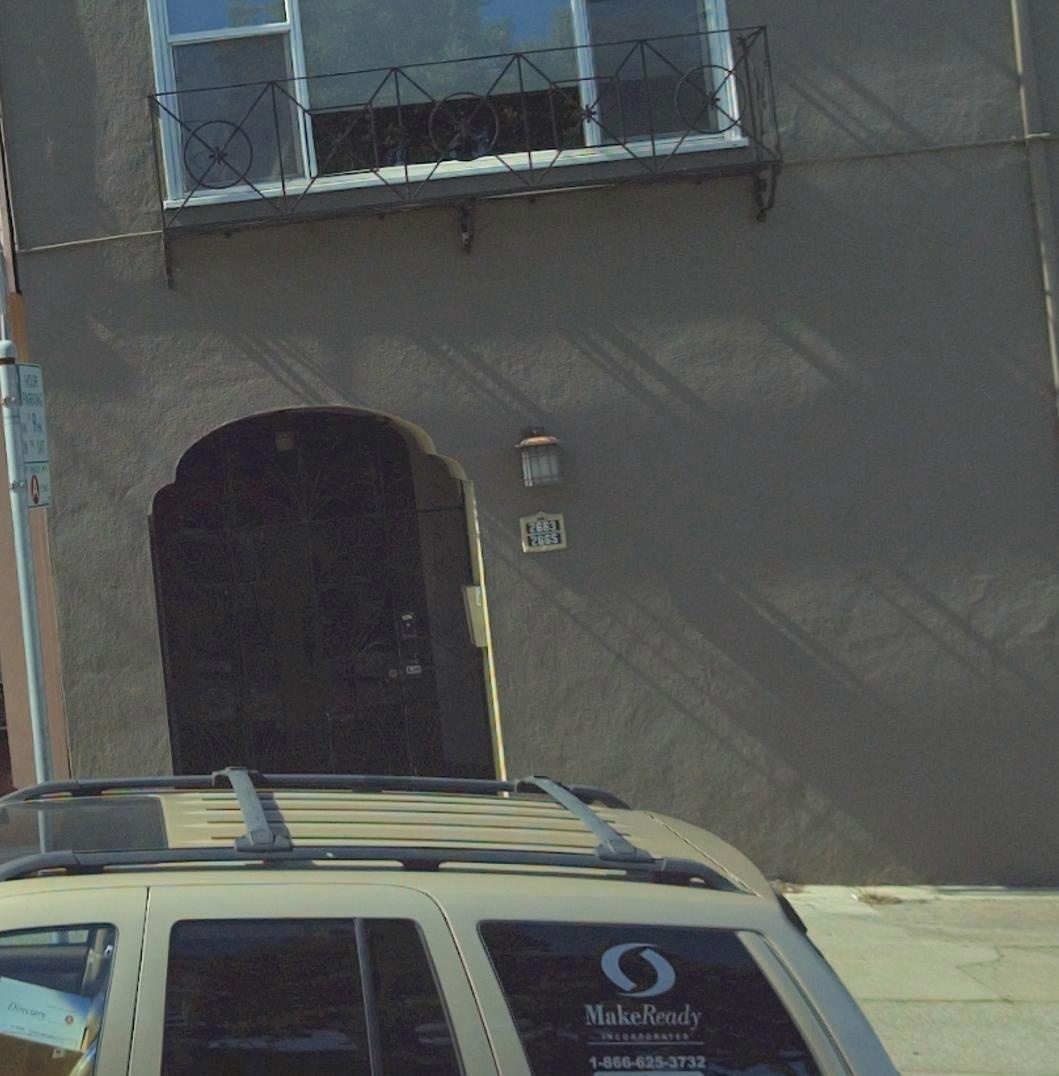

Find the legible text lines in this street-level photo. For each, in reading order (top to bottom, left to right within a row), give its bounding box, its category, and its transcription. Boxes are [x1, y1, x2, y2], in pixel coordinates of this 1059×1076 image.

[527, 518, 558, 535] StreetNumber: 2663
[528, 531, 560, 548] StreetNumber: 2*65